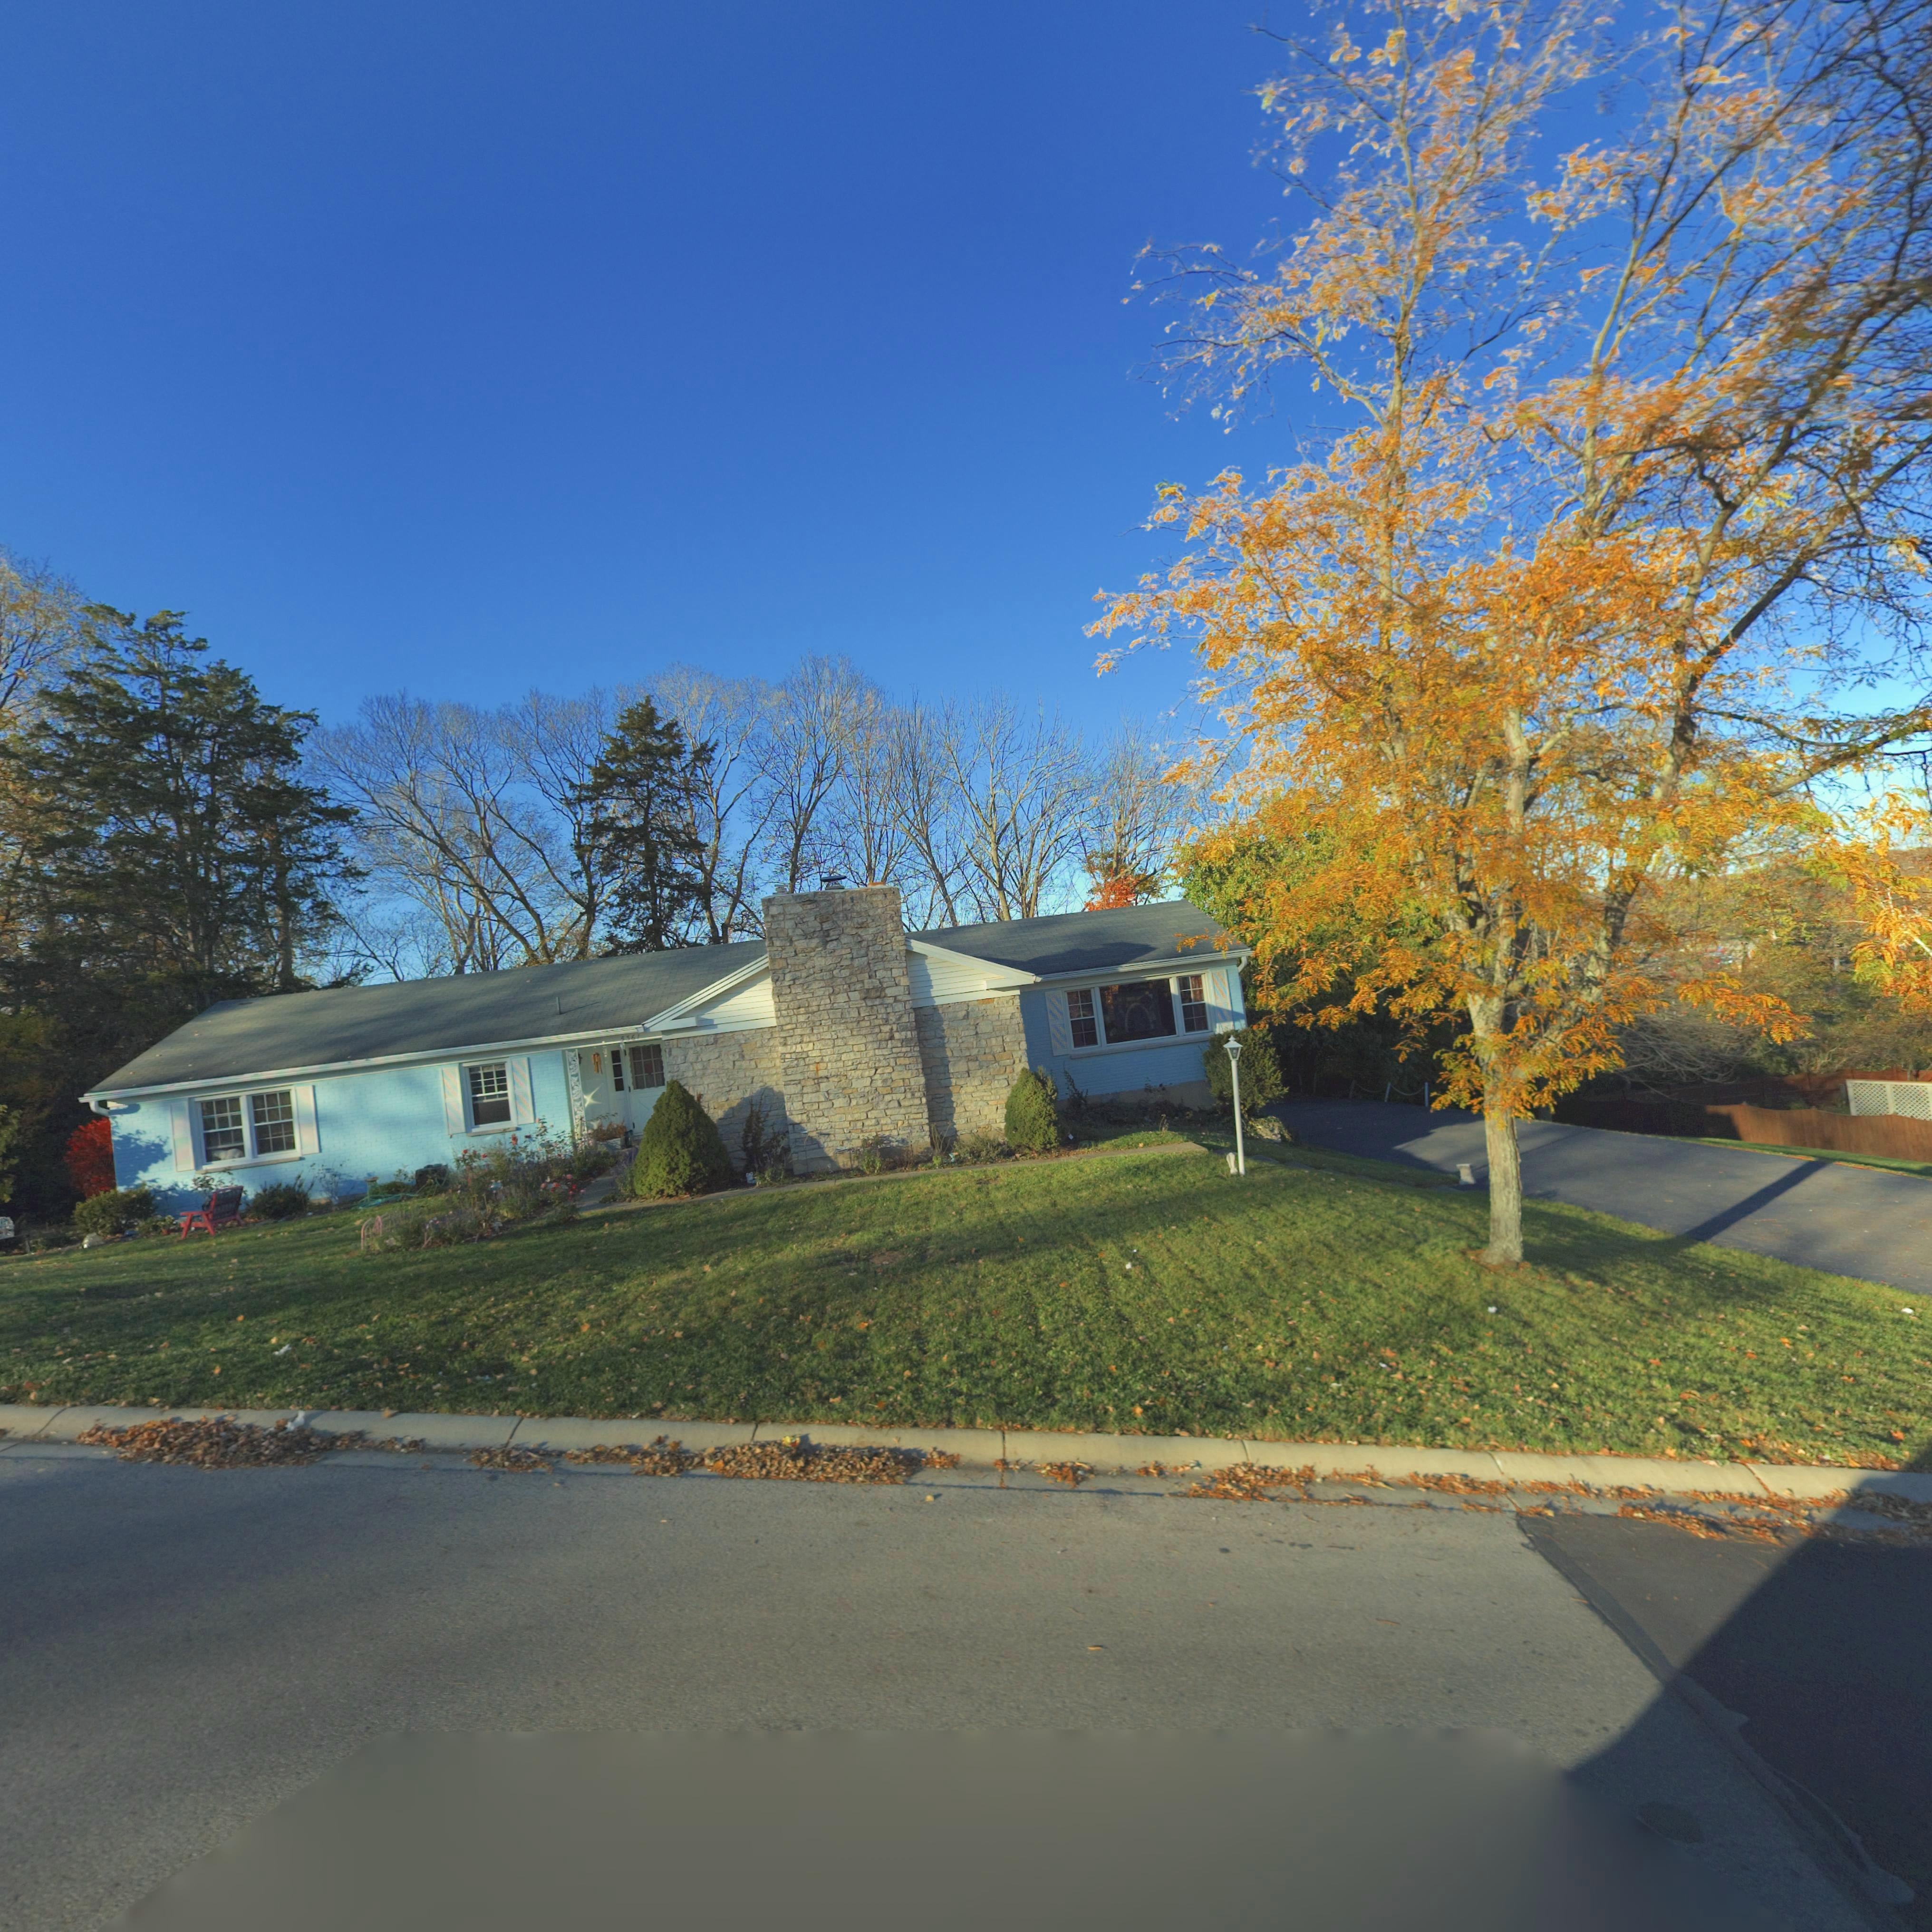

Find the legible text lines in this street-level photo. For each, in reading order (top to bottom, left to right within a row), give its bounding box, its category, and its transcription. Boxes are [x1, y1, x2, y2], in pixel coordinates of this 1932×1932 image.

[620, 1032, 641, 1043] StreetNumber: 5361